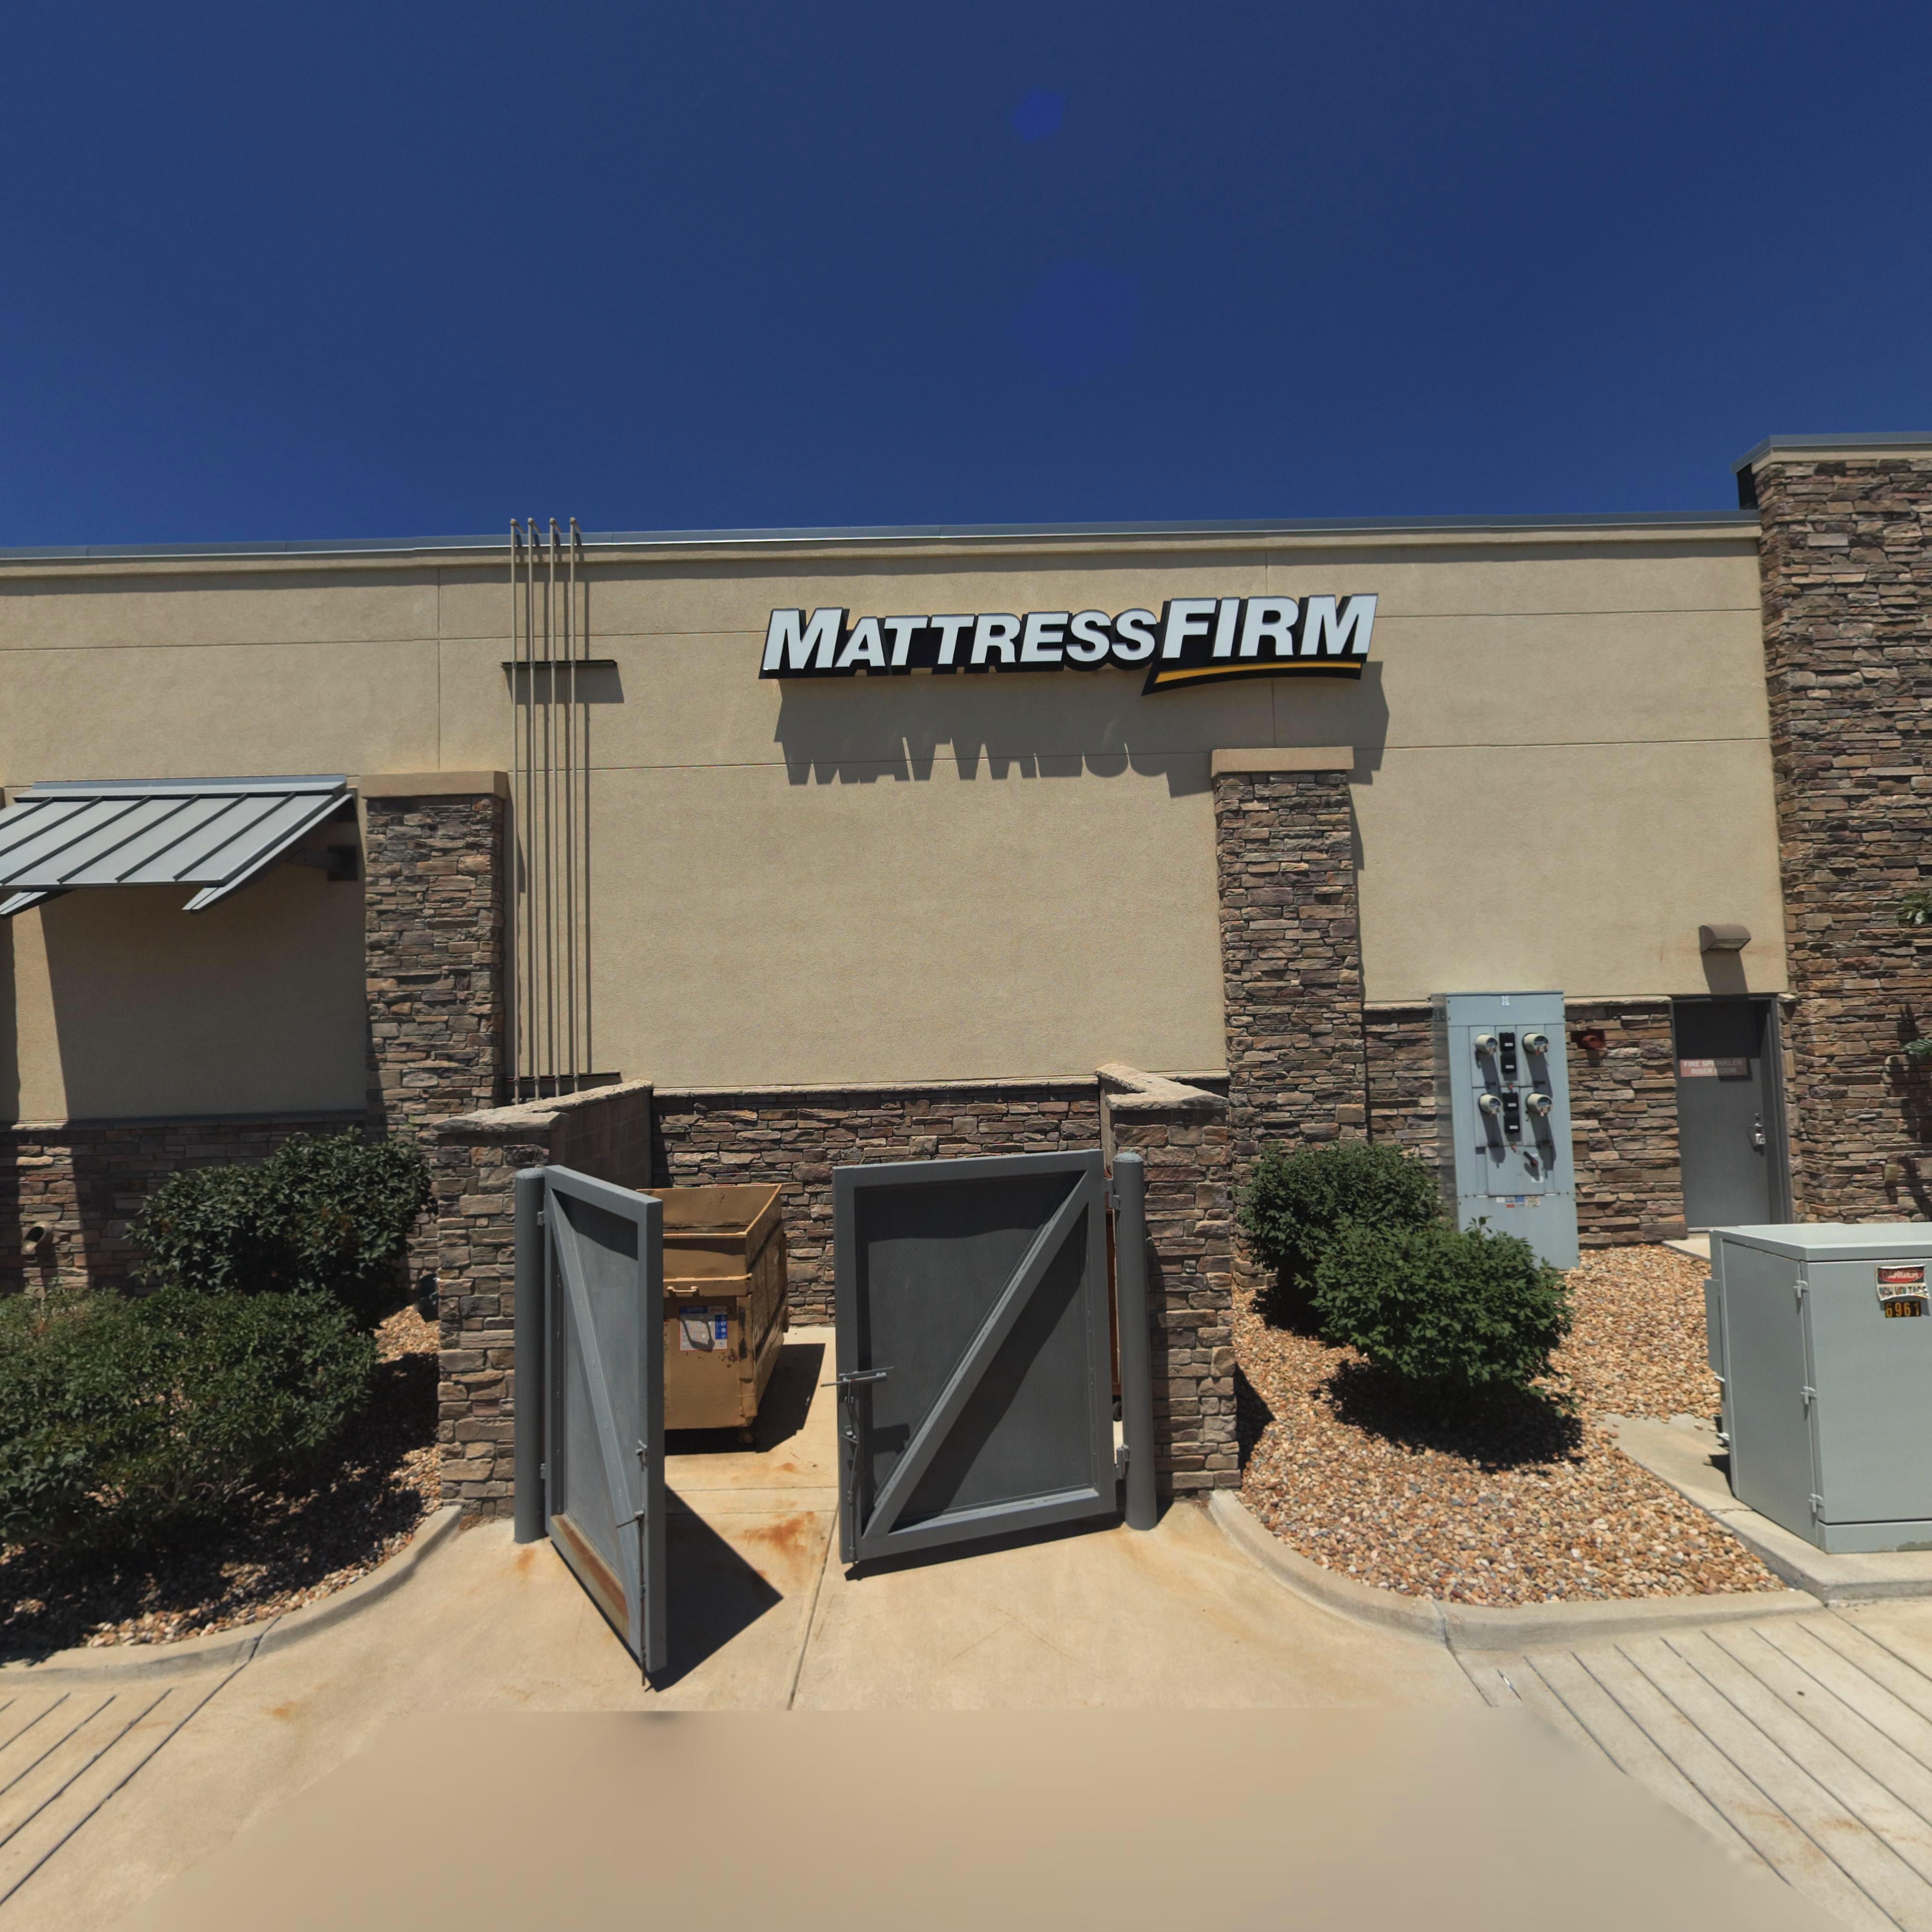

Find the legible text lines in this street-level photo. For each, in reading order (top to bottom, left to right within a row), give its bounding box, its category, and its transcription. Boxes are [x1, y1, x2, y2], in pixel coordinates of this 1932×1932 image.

[762, 596, 1378, 670] BusinessName: MATTREssFIRM